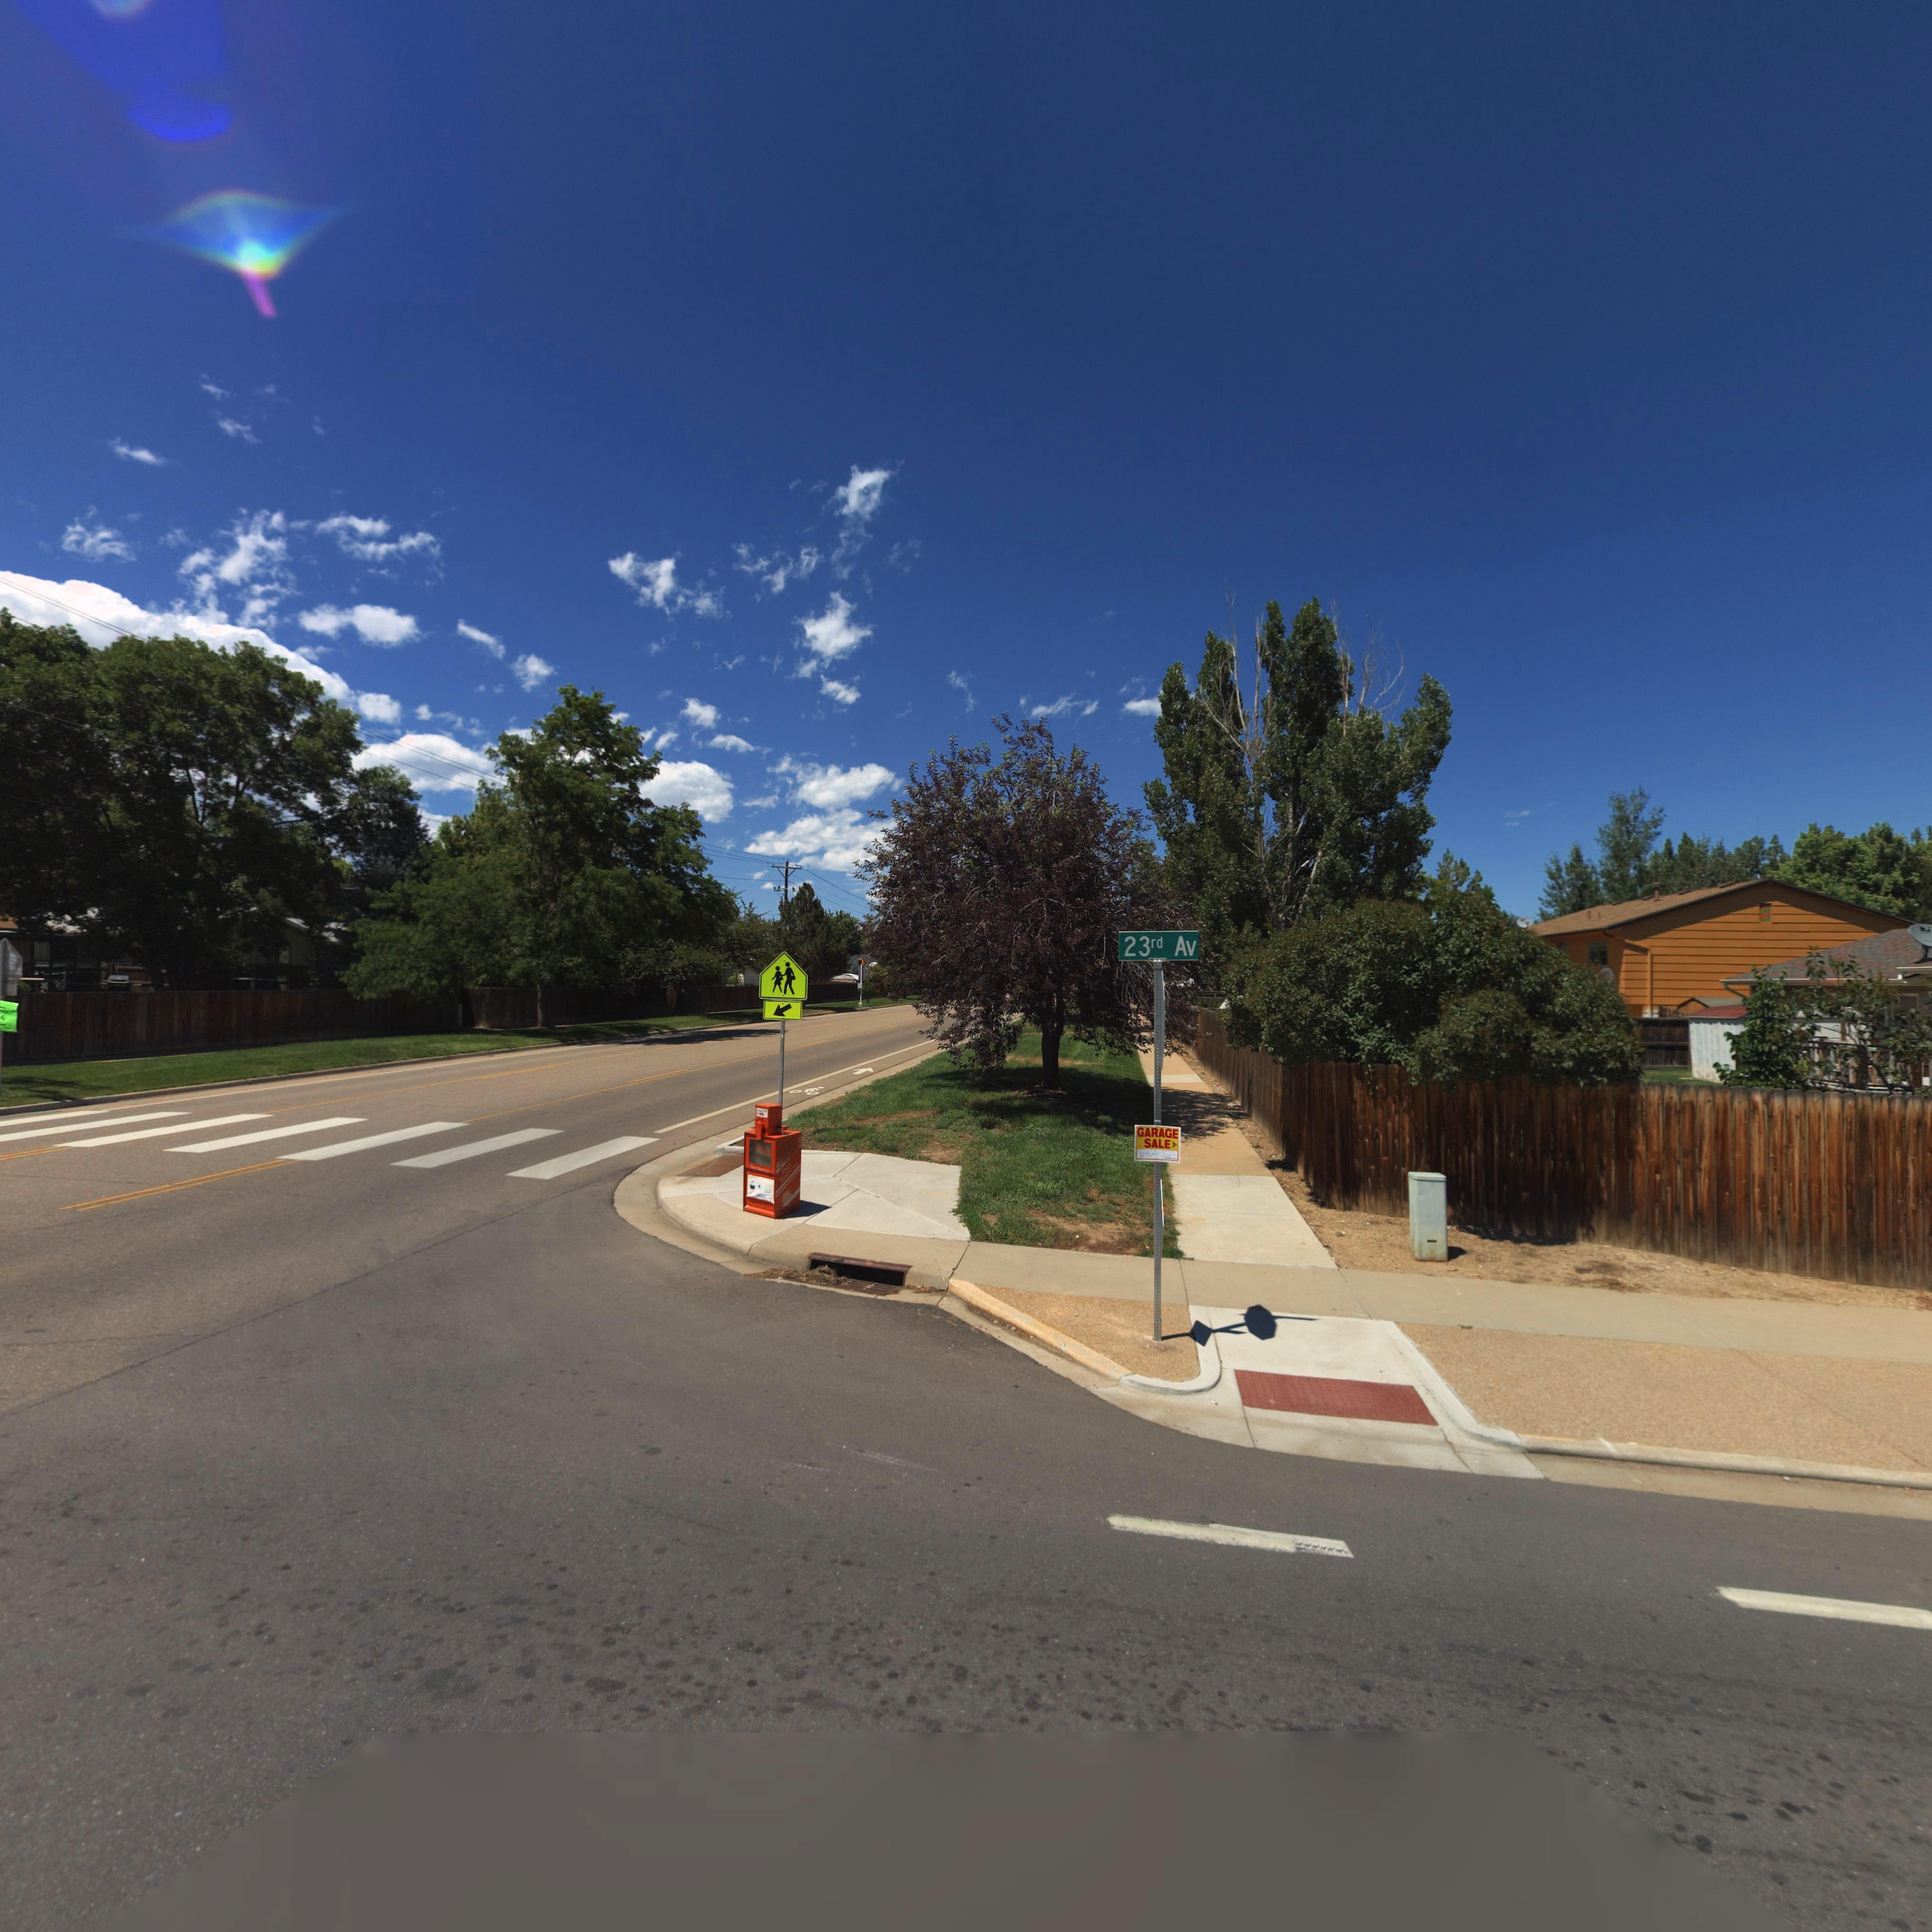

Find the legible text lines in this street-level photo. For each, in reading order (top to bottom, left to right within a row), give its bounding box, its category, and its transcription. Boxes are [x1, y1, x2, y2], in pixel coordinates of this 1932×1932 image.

[1123, 936, 1197, 957] StreetName: 23rd Av